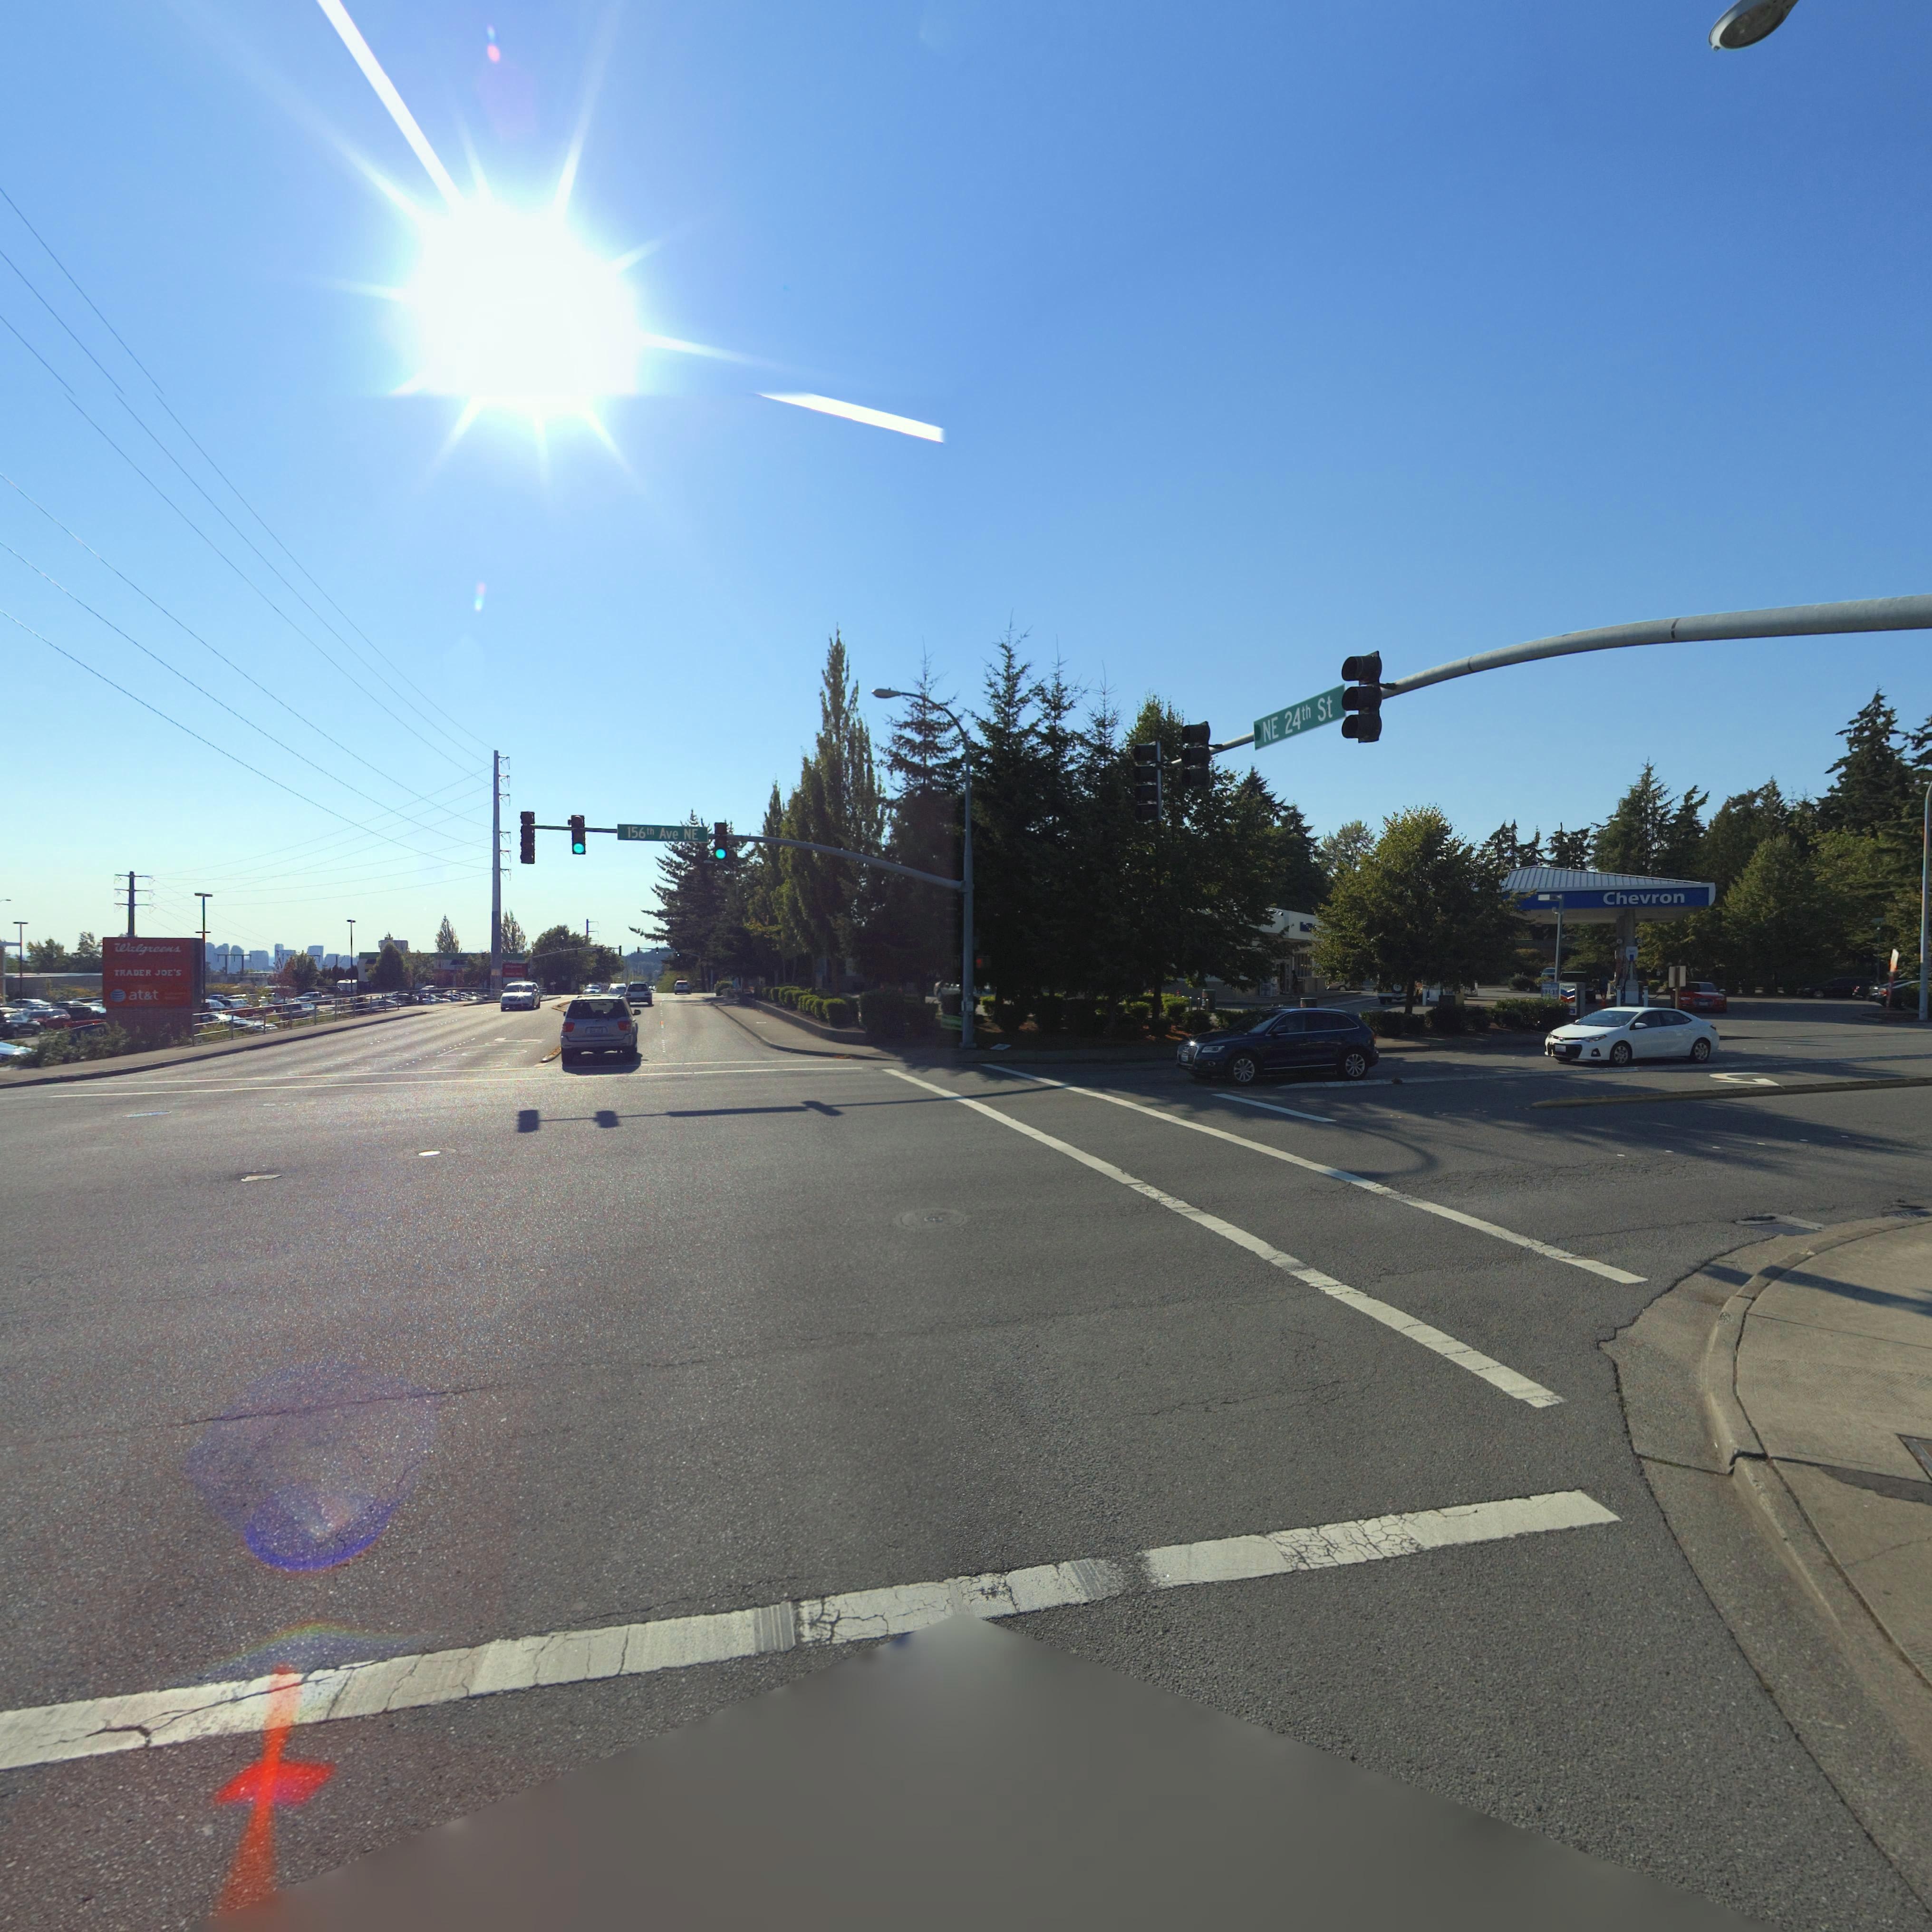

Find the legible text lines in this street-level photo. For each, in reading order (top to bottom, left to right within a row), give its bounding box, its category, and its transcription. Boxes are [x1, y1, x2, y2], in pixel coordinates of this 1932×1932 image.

[1263, 694, 1333, 744] StreetName: NE 24th St
[627, 827, 698, 840] StreetName: 156th Ave NE
[1604, 892, 1685, 904] BusinessName: Chevron
[115, 943, 181, 956] BusinessName: Walgreens
[114, 969, 181, 976] BusinessName: TRADER JOE'S
[129, 990, 159, 1000] BusinessName: at*t